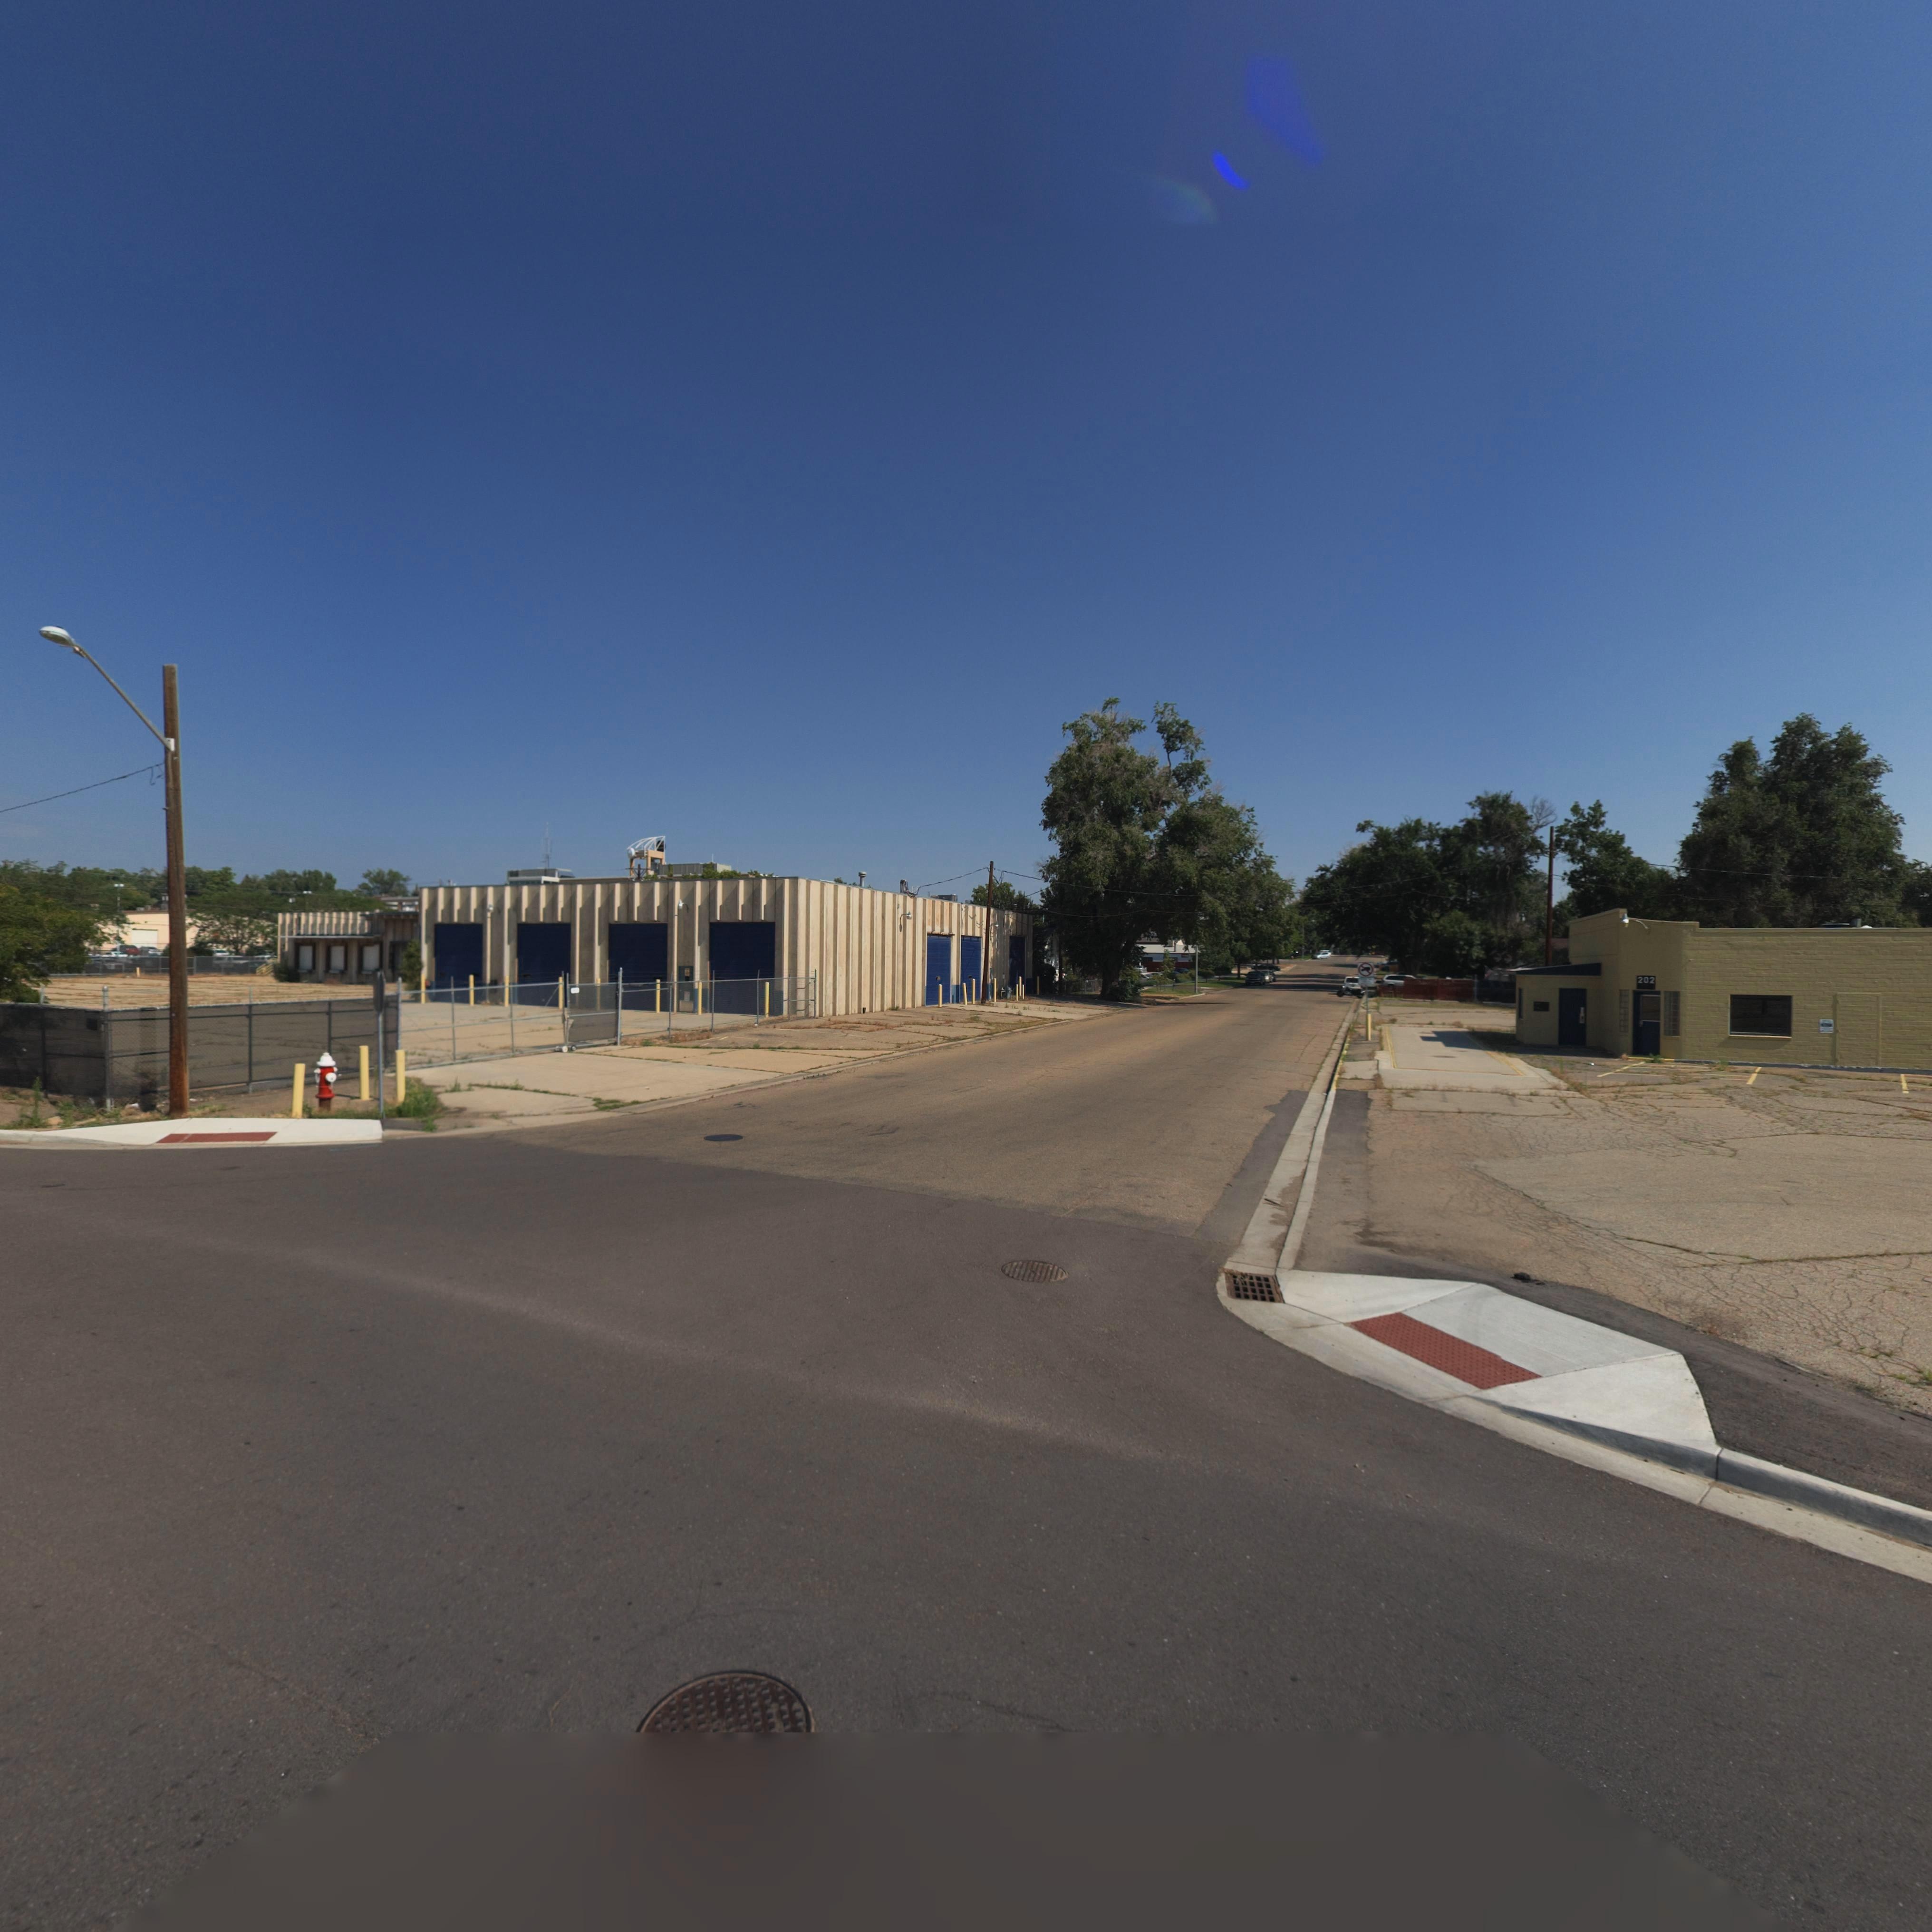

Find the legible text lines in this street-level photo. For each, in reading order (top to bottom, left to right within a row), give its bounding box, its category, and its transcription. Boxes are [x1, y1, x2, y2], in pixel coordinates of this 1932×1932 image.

[1637, 976, 1655, 984] StreetNumber: 202